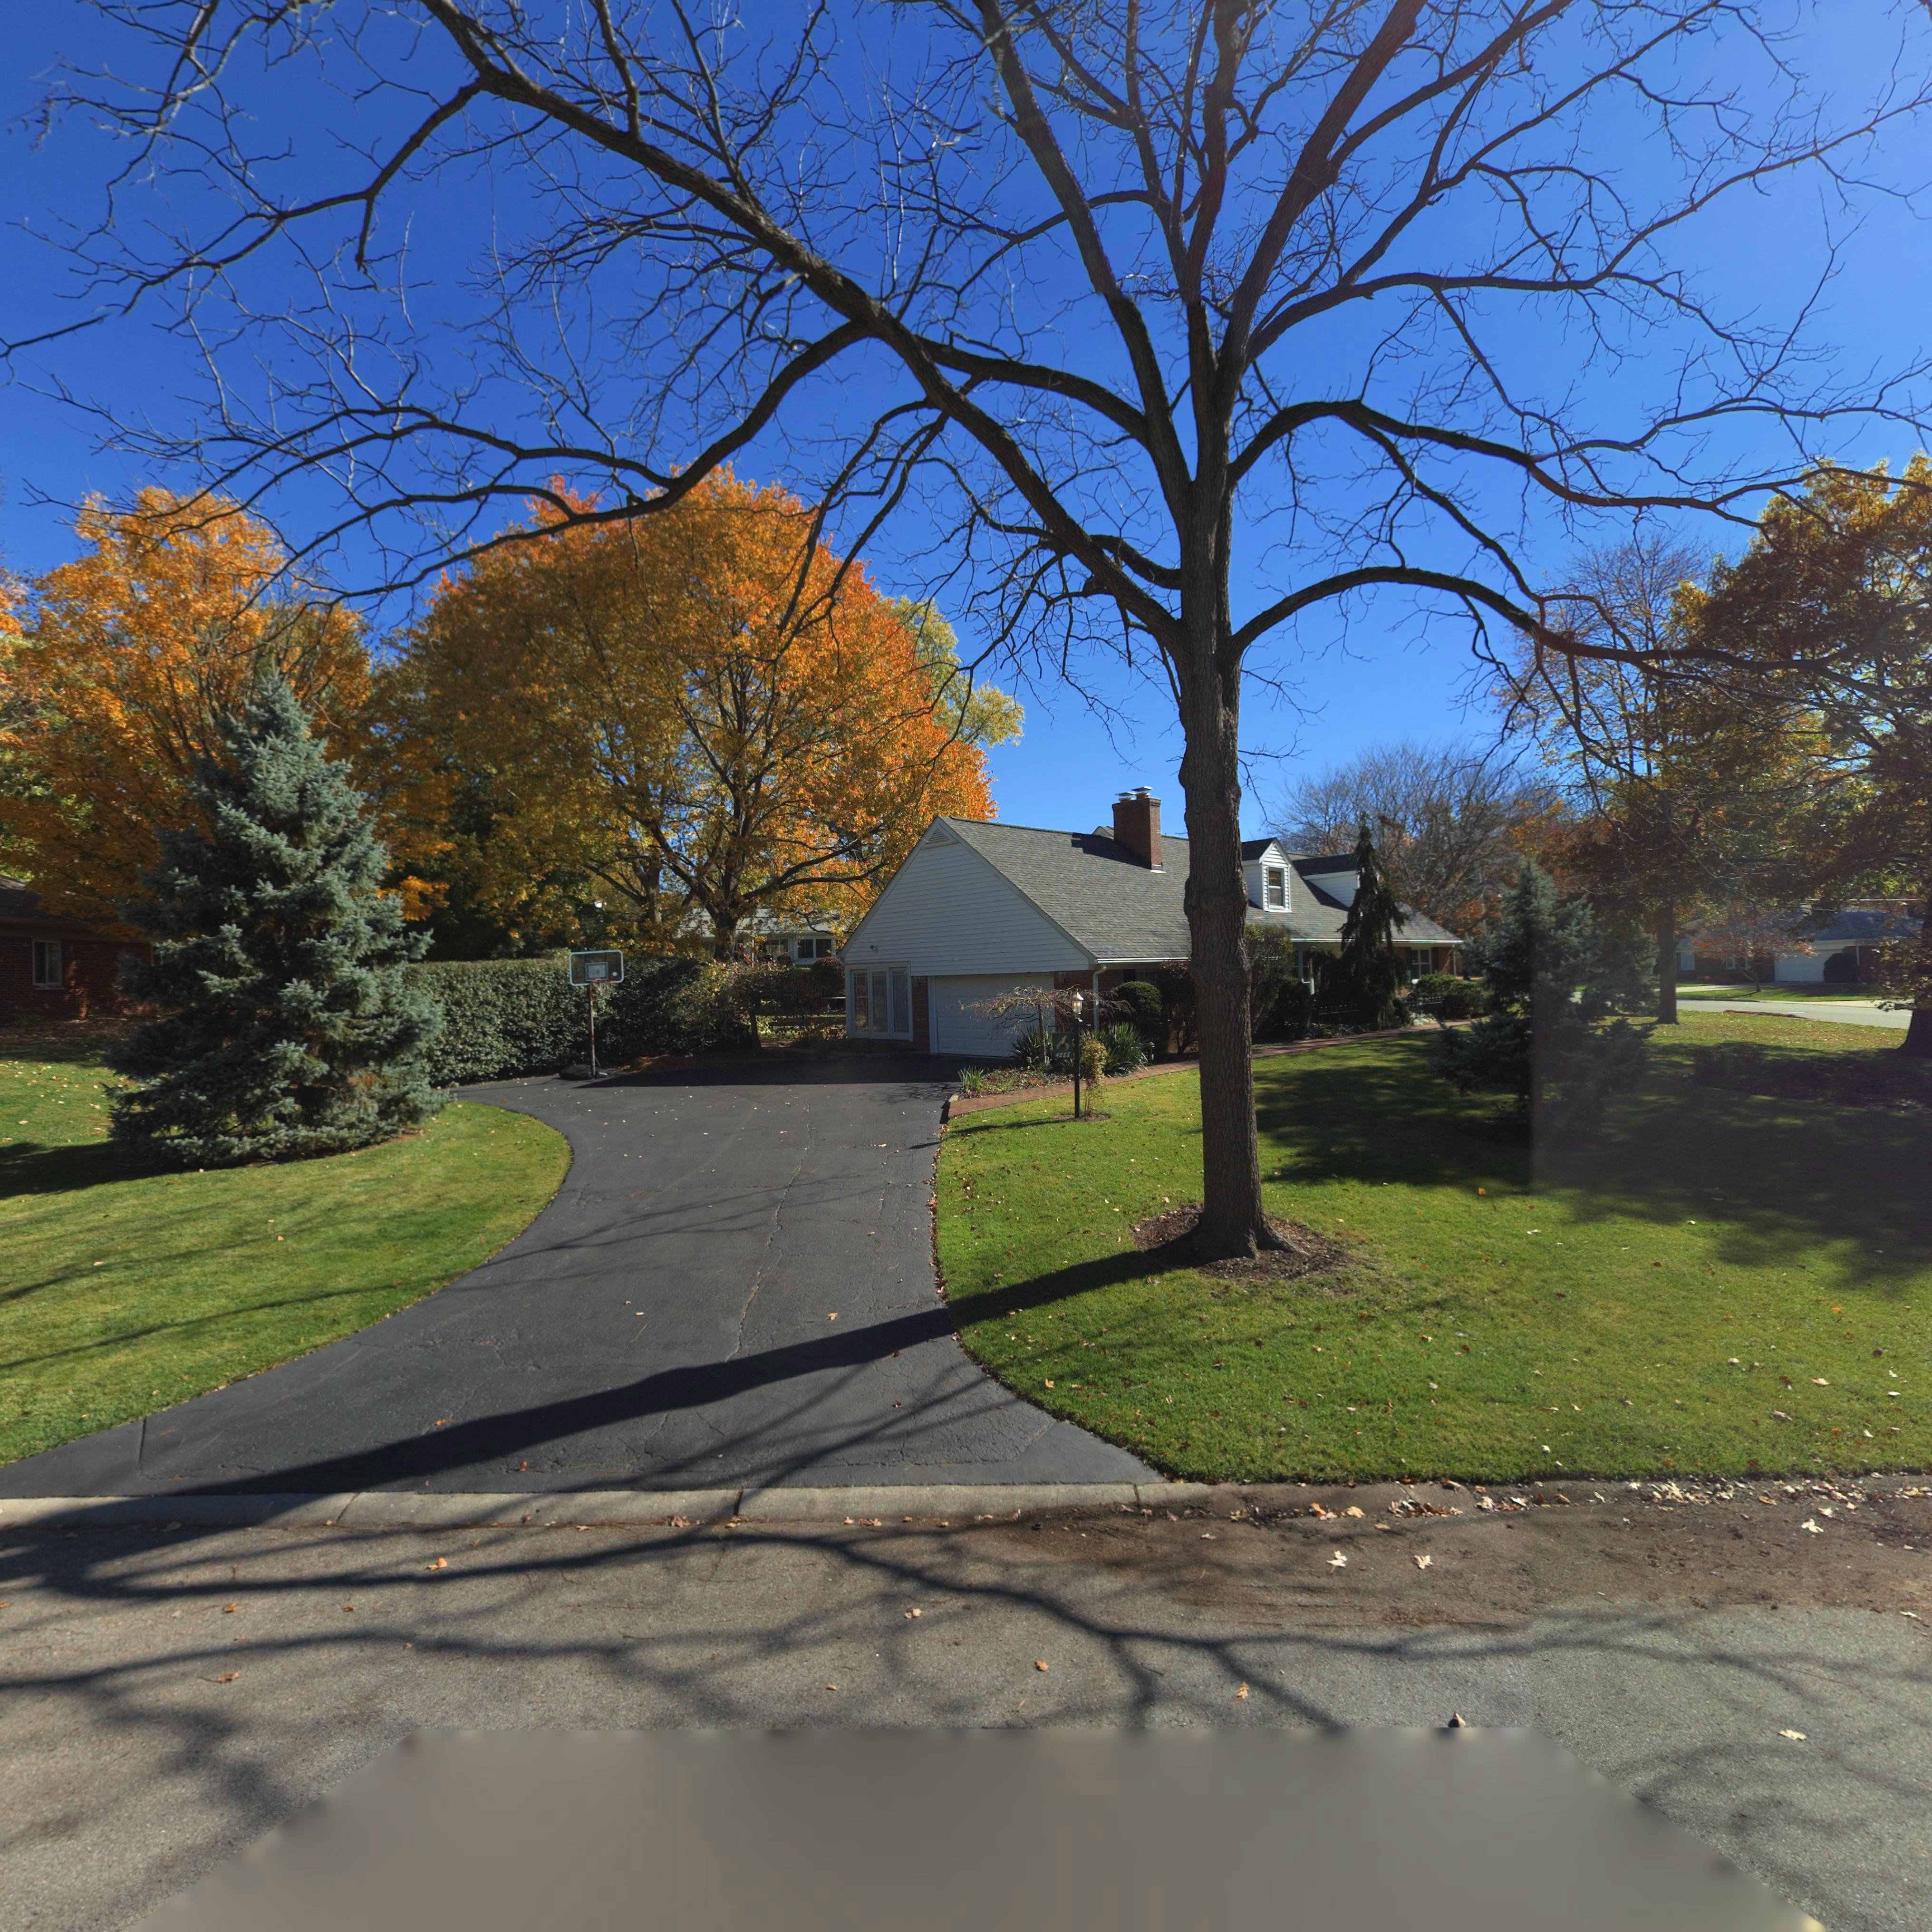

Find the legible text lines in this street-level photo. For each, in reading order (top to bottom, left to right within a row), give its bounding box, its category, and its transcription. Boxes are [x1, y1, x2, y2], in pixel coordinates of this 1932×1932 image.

[1054, 1052, 1071, 1058] StreetNumber: 4255